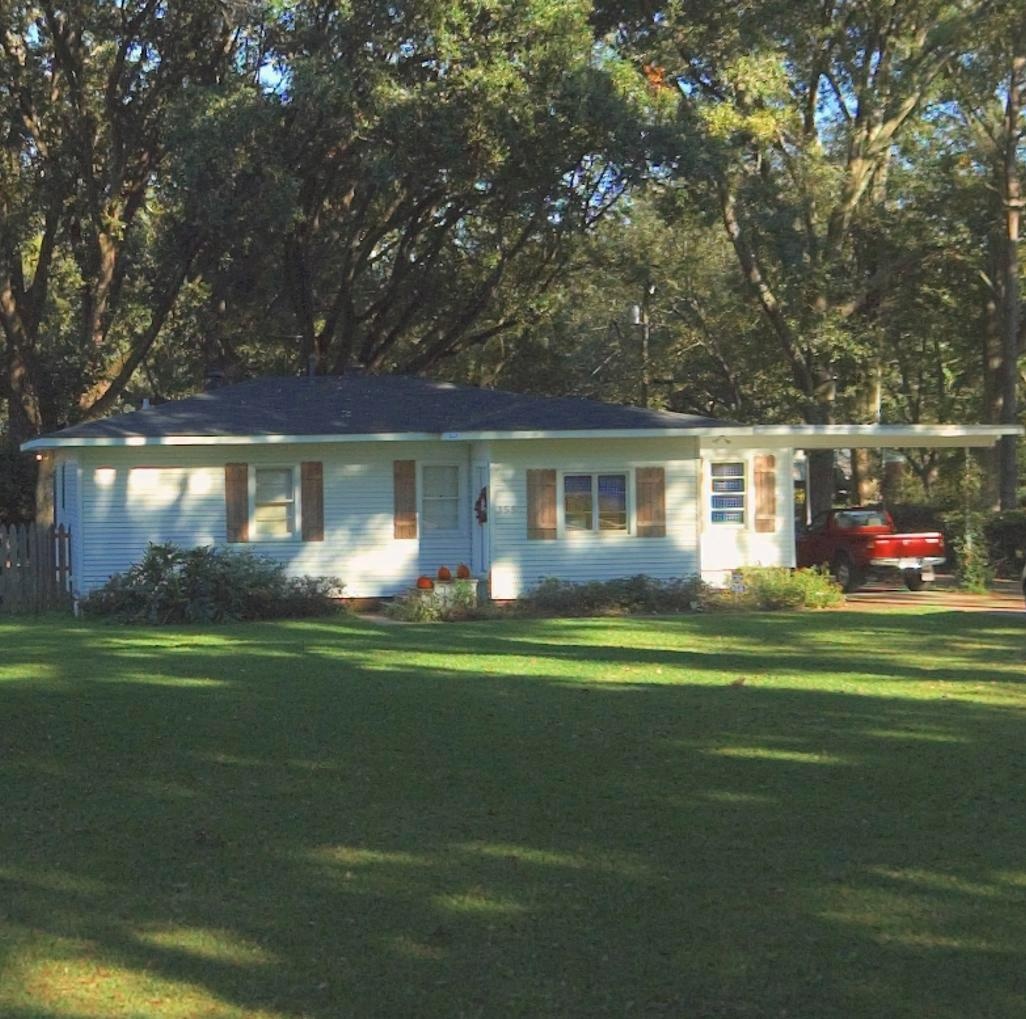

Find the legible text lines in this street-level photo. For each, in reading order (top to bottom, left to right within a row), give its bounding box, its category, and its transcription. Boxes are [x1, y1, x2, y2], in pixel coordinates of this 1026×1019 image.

[495, 504, 518, 516] StreetNumber: 355